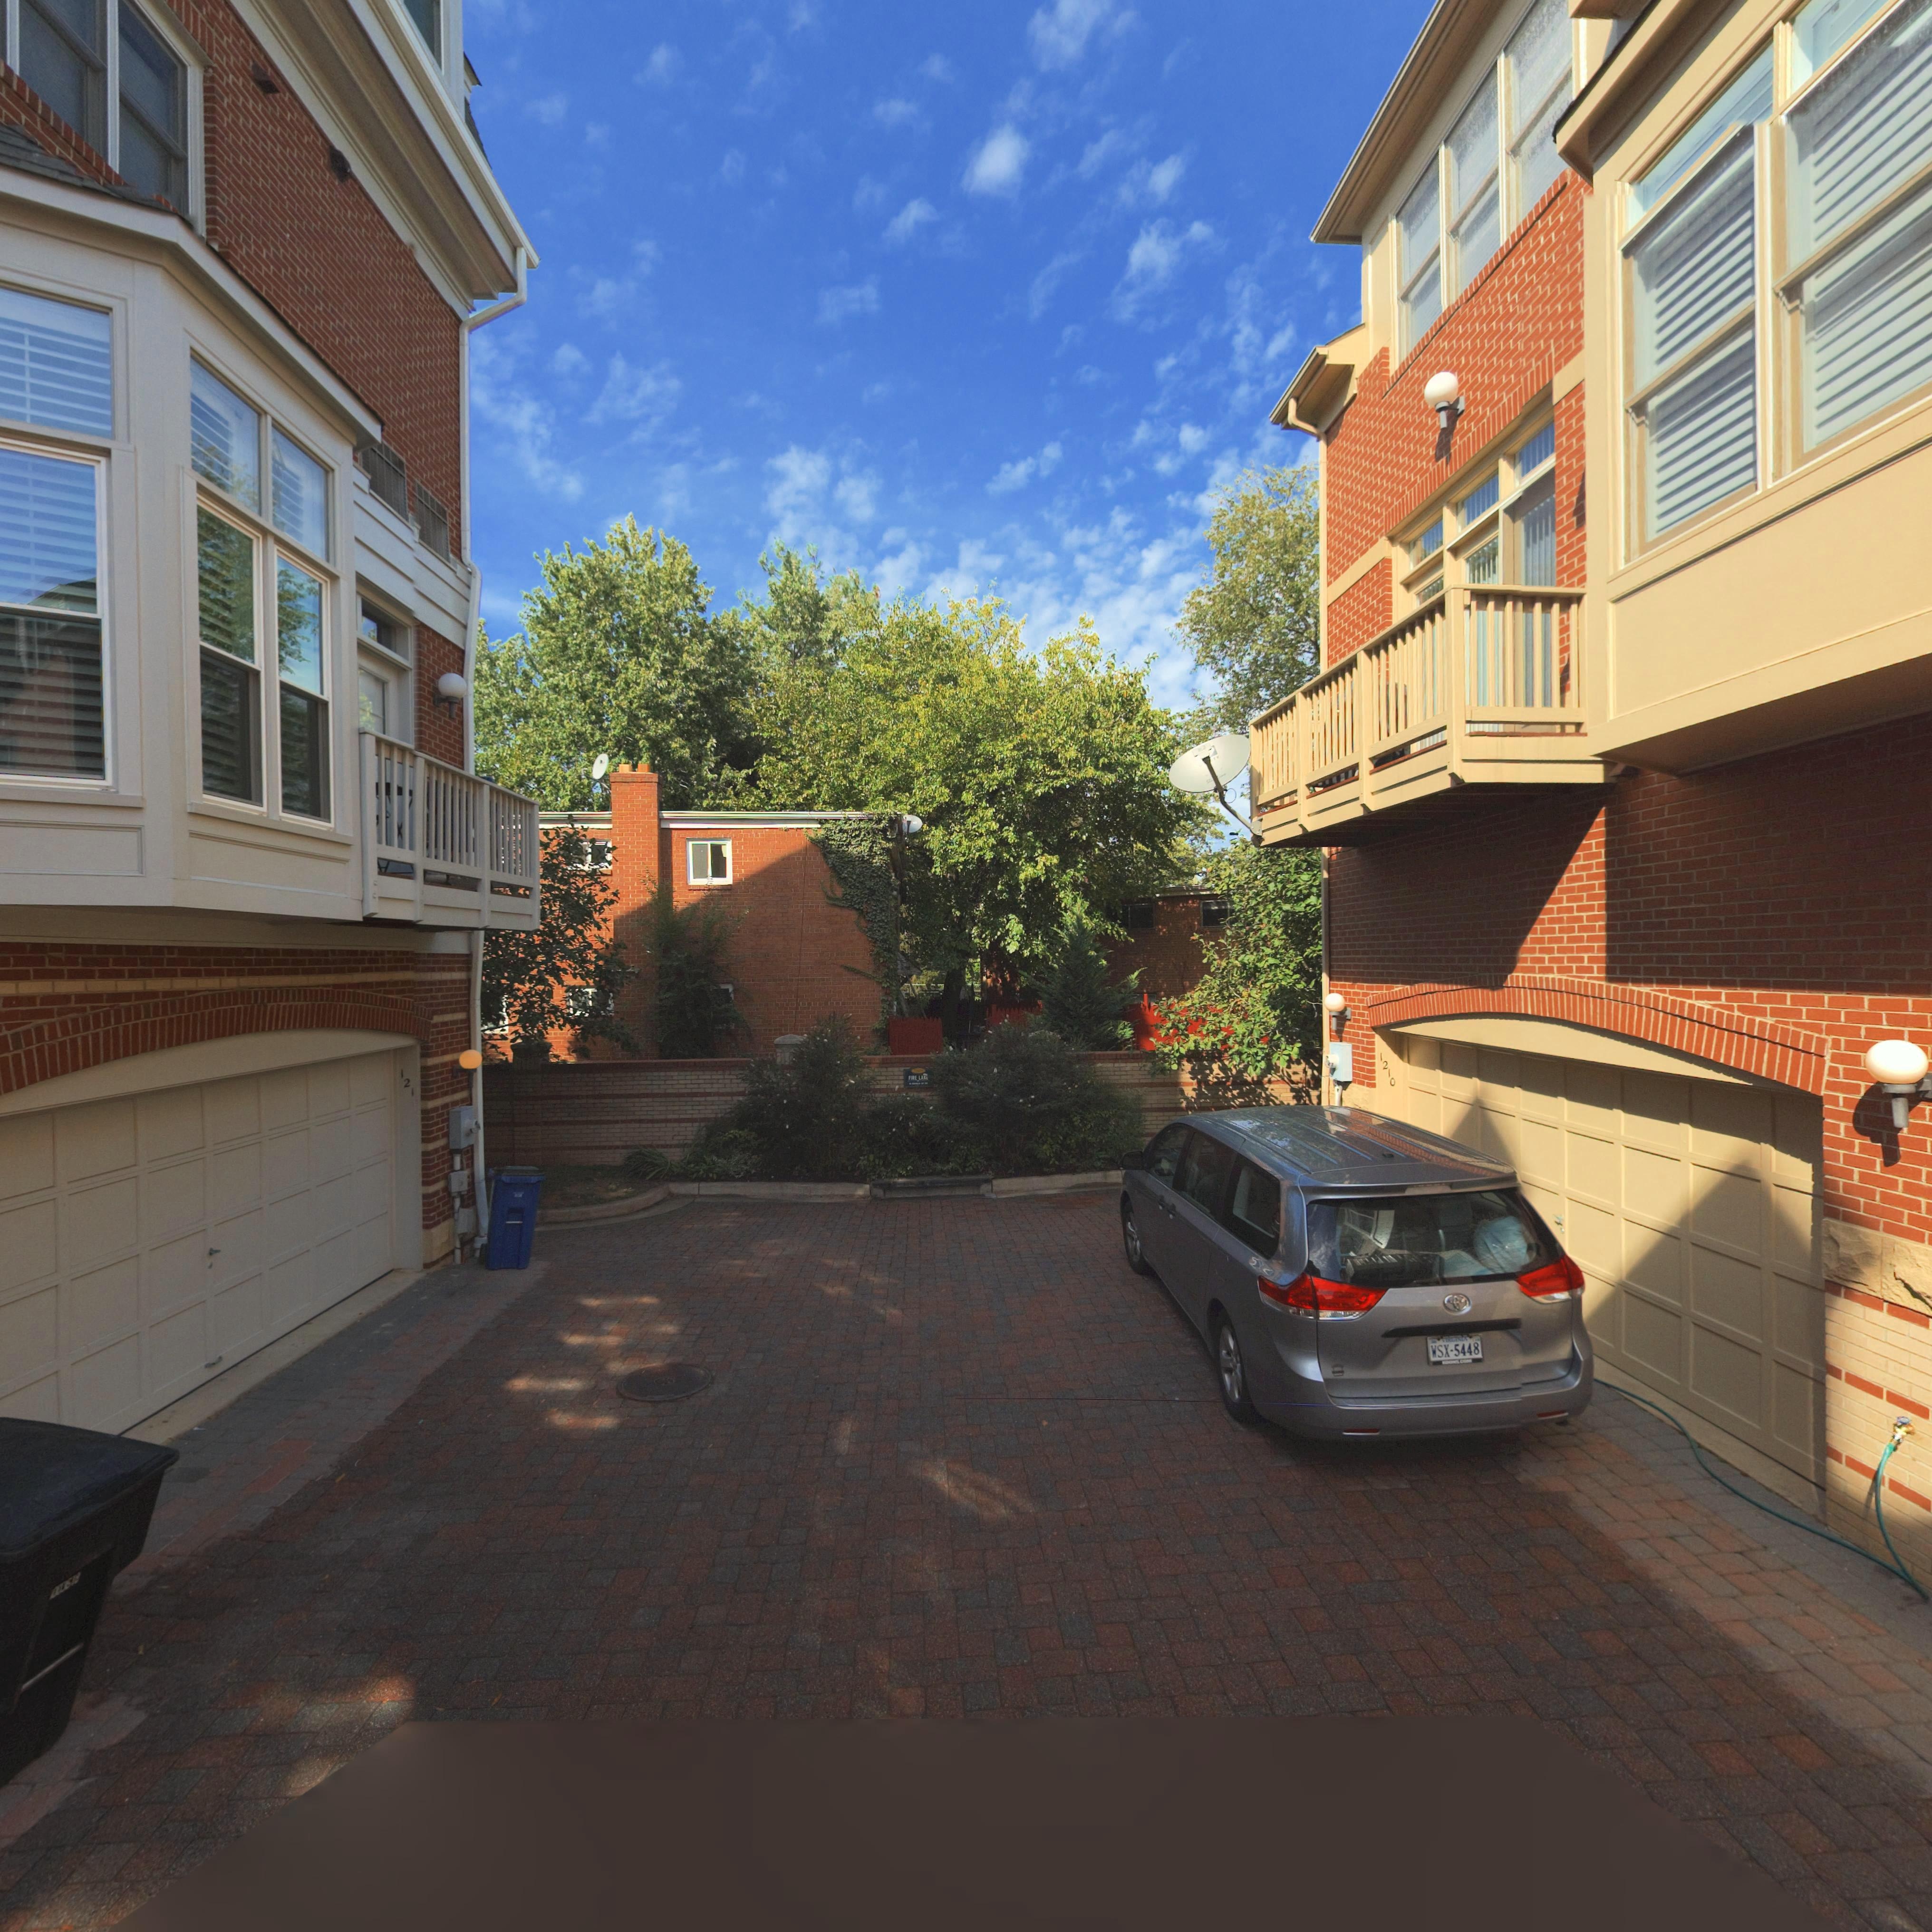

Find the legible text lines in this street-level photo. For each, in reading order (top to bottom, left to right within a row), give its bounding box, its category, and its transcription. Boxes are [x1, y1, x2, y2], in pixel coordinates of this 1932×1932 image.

[400, 1068, 415, 1098] StreetNumber: 121
[908, 1075, 928, 1081] None: FIRE LAK*
[1378, 1051, 1396, 1087] StreetNumber: 1210
[1441, 1337, 1469, 1343] None: VIRGINIA
[1430, 1342, 1480, 1359] None: WSX-5448
[48, 1570, 81, 1602] None: 000618